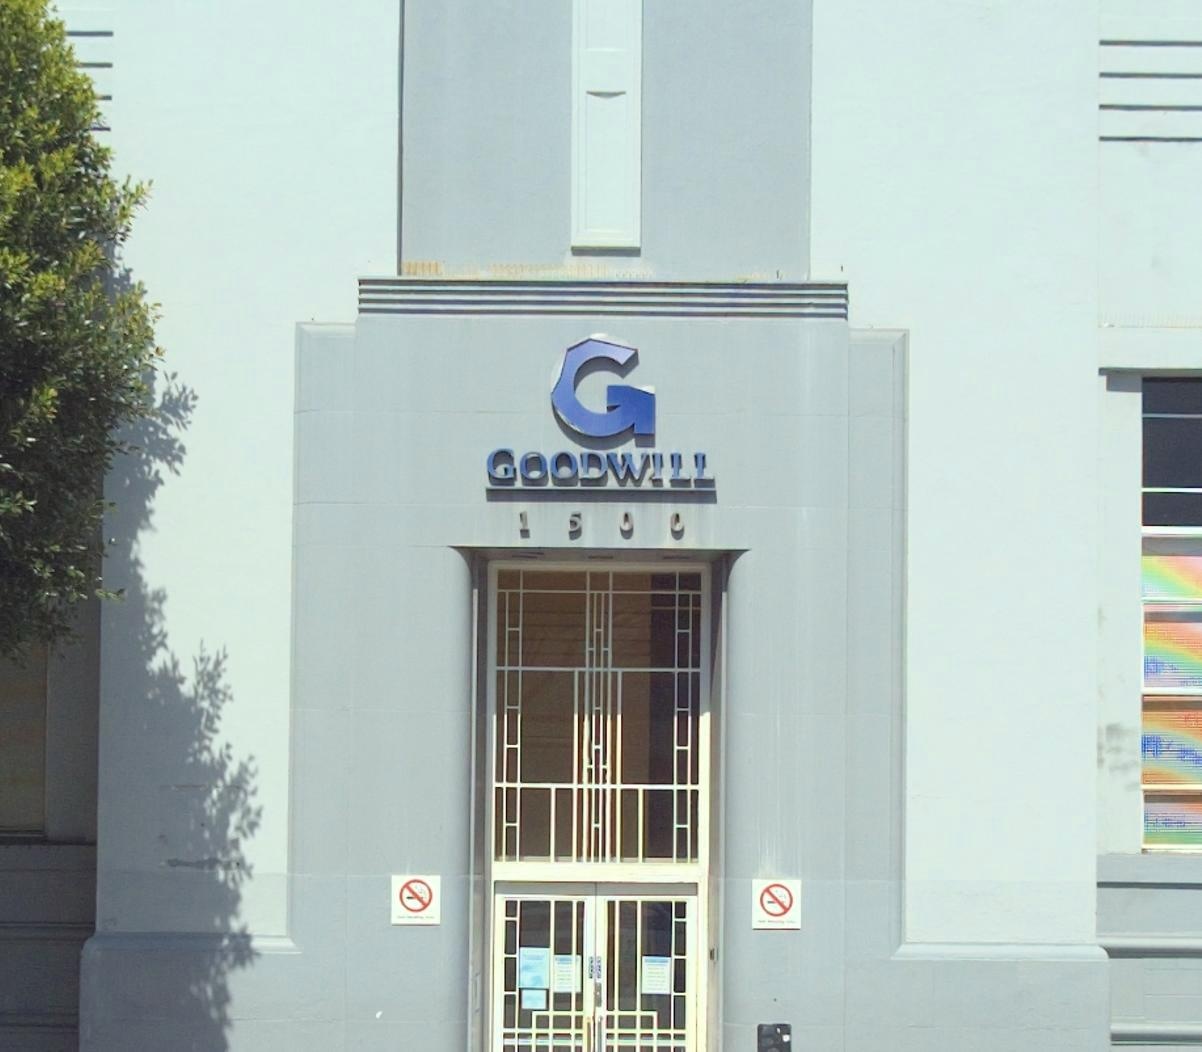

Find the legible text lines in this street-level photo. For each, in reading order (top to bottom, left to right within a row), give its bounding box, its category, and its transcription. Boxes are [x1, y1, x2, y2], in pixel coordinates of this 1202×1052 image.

[548, 327, 658, 440] None: G
[486, 446, 717, 481] BusinessName: GOODWILL
[518, 509, 686, 535] StreetNumber: 1500